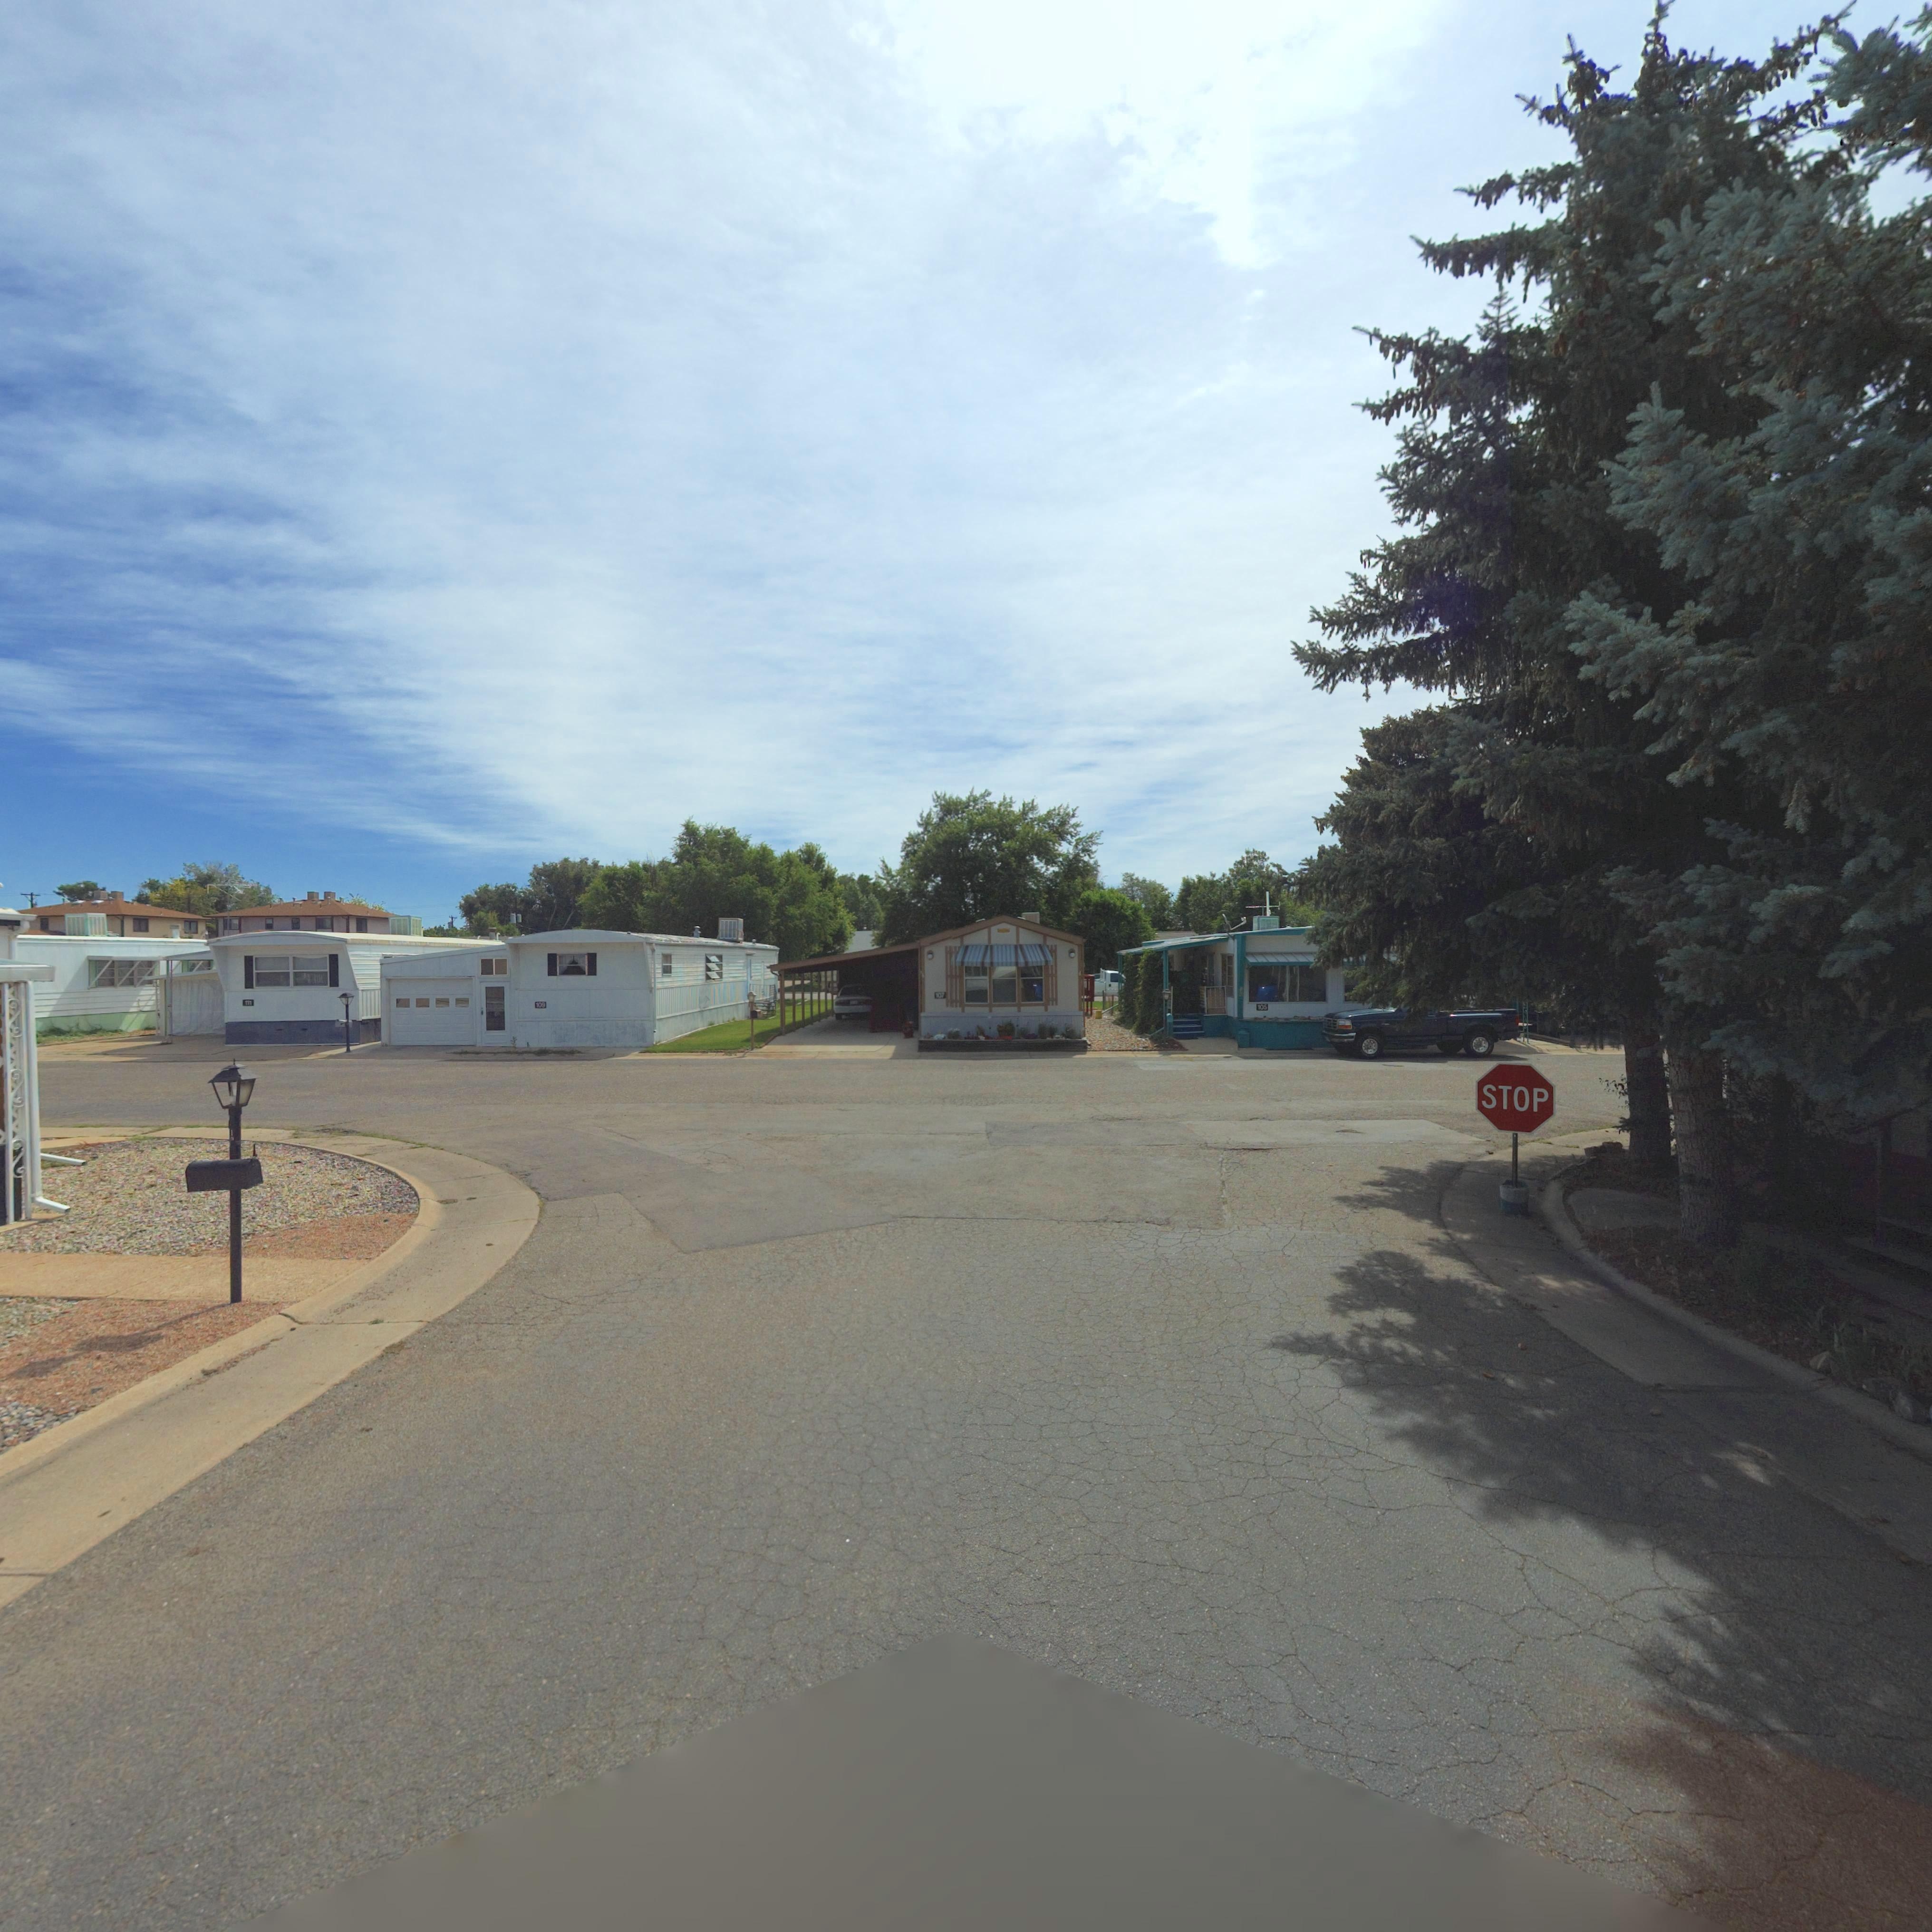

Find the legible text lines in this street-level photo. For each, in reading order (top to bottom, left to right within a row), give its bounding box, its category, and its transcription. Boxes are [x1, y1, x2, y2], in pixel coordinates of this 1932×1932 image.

[935, 992, 945, 998] StreetNumber: 107
[244, 1000, 251, 1005] StreetNumber: 111
[535, 1002, 545, 1008] StreetNumber: 109
[1257, 1004, 1267, 1010] StreetNumber: 105